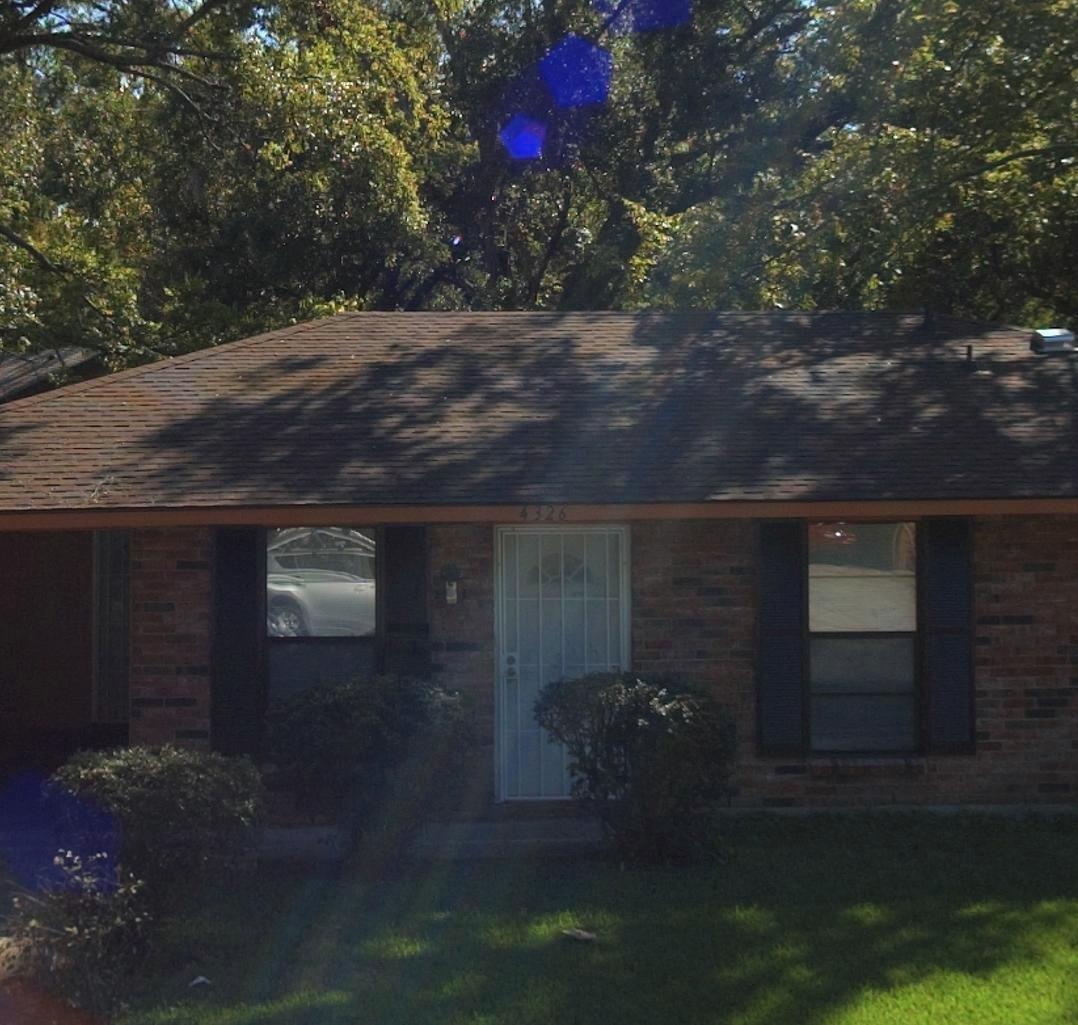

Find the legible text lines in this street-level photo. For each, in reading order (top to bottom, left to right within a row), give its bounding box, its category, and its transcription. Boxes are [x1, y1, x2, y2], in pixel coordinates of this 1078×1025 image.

[517, 504, 568, 522] StreetNumber: 4326